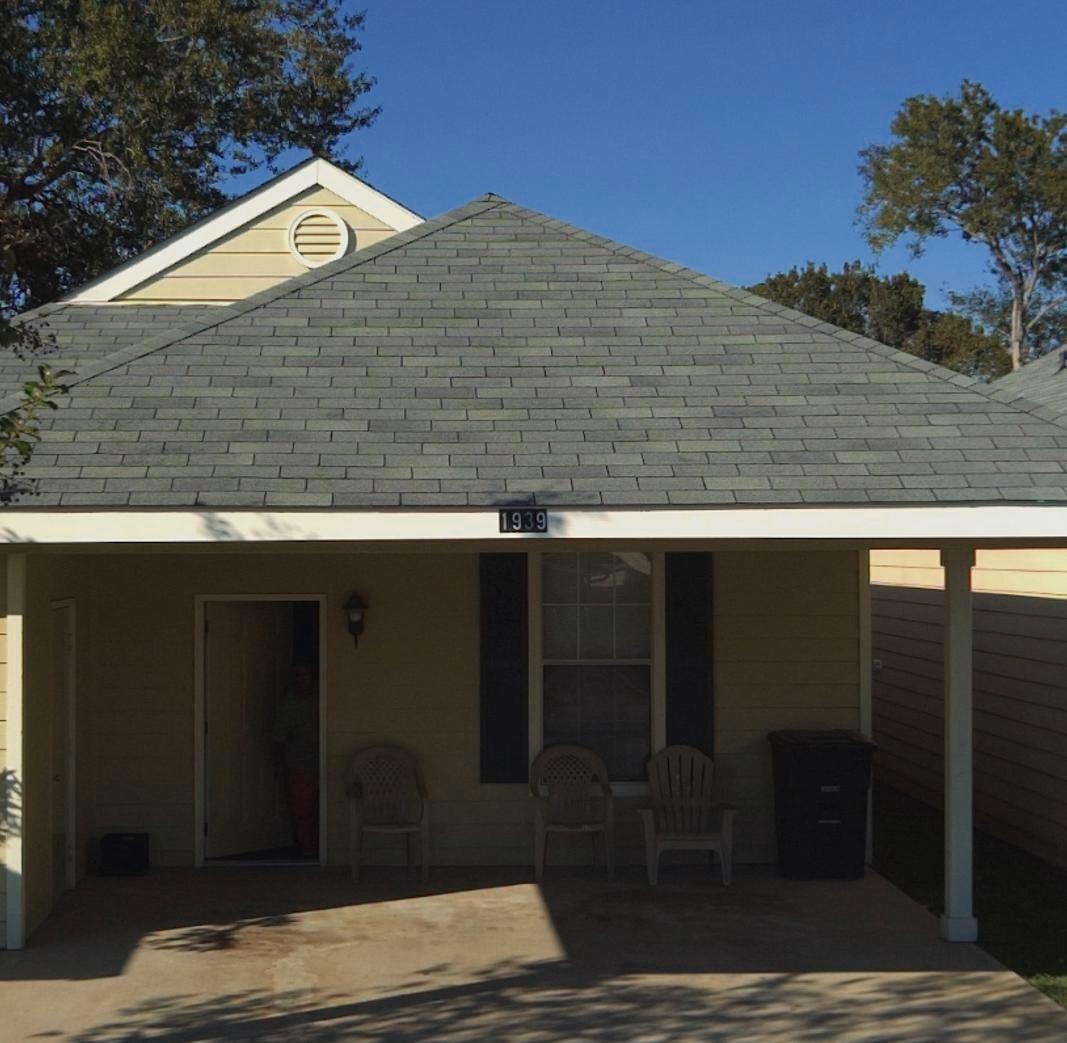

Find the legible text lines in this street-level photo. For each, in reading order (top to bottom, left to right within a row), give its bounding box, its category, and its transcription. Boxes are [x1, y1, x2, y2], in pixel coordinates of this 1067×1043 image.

[501, 510, 547, 532] StreetNumber: 1939